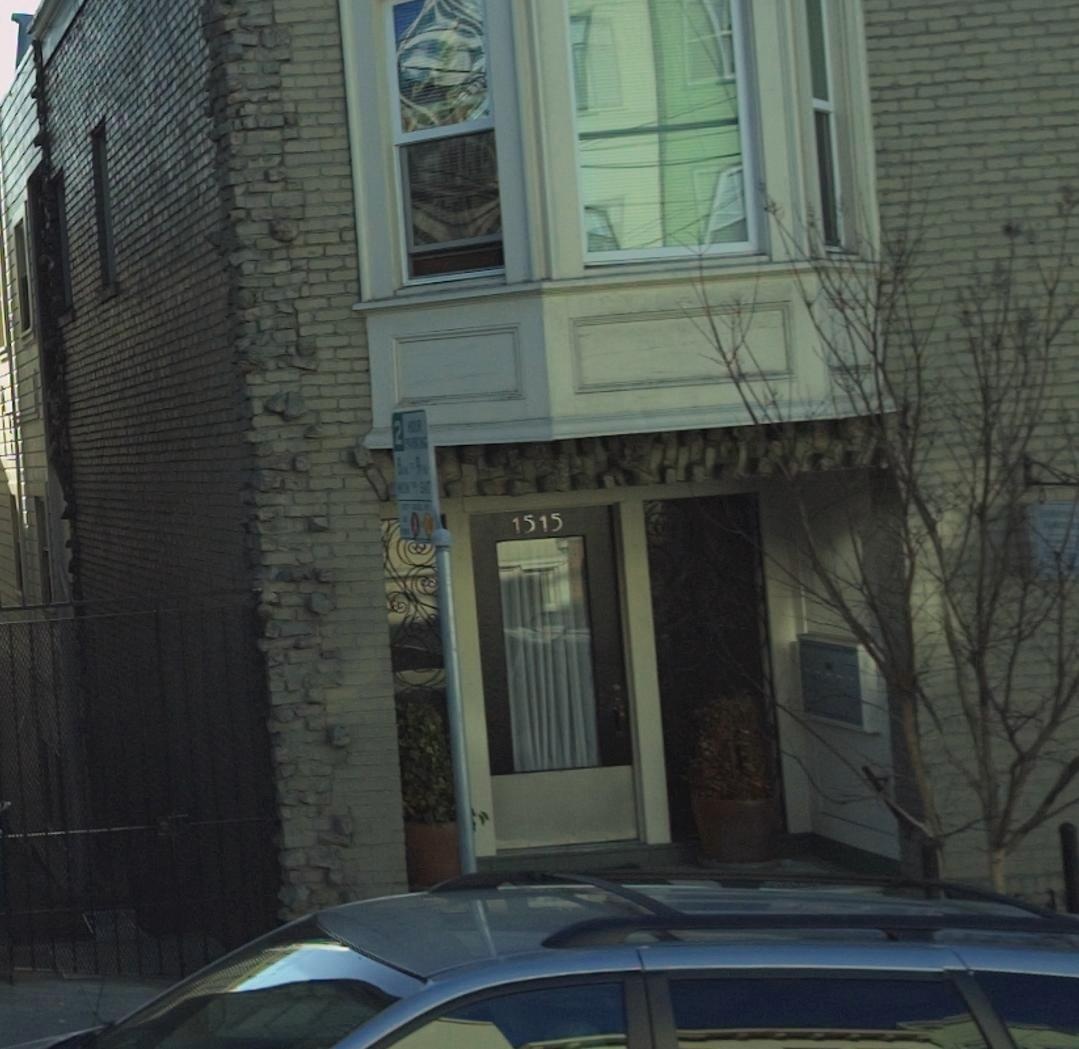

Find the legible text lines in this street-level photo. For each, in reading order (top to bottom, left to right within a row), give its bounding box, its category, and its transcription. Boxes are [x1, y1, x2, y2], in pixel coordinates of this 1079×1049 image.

[392, 419, 404, 447] None: 2
[406, 418, 423, 434] None: HOUR
[404, 436, 429, 450] None: PARKING
[396, 456, 402, 476] None: 8
[414, 455, 422, 476] None: 9
[397, 481, 411, 495] None: MON
[419, 480, 432, 495] None: SAT
[510, 511, 566, 537] StreetNumber: 1515